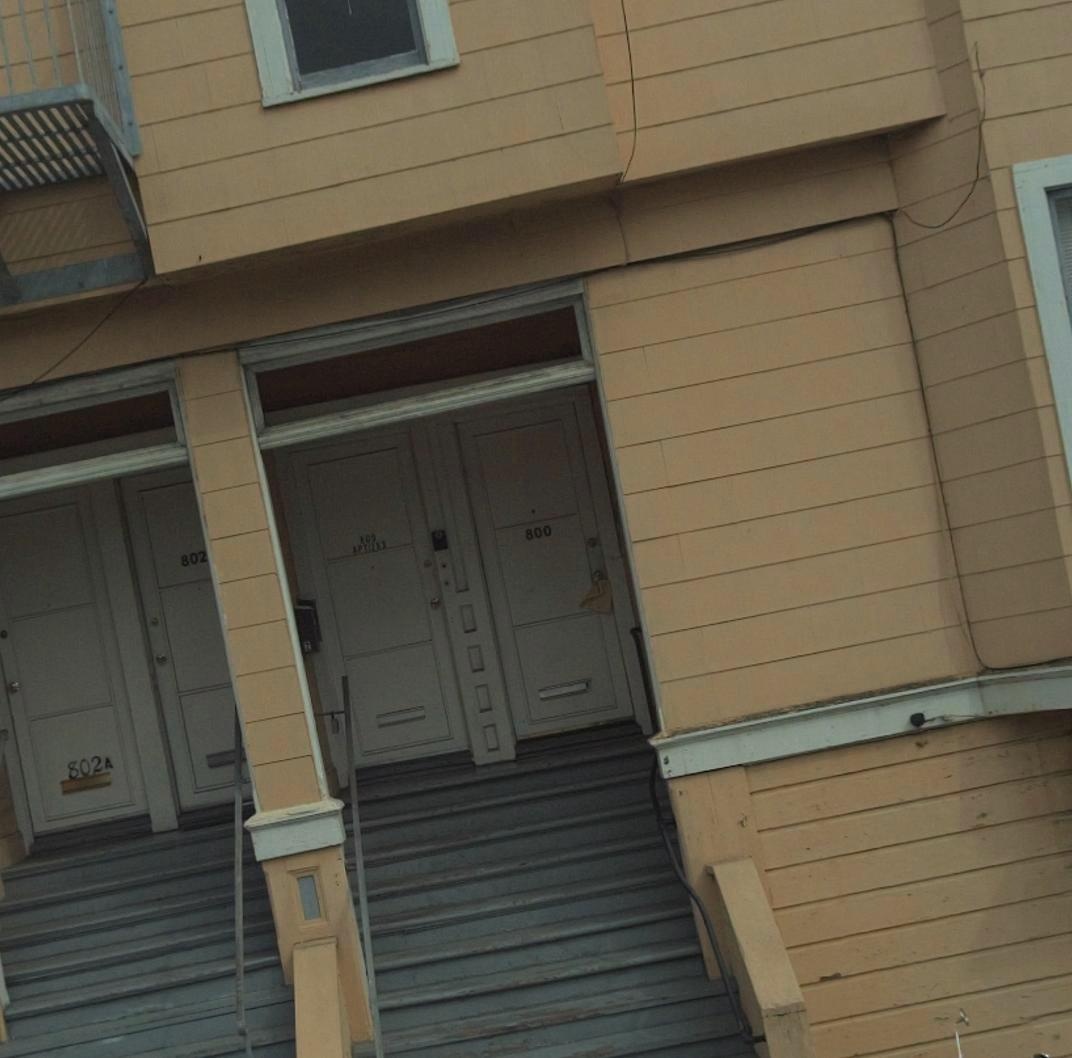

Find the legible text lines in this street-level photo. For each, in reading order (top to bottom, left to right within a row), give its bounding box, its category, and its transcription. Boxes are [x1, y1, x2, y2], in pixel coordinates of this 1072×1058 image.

[524, 524, 553, 542] StreetNumber: 800
[179, 548, 210, 568] StreetNumber: 802
[351, 542, 369, 556] None: APT
[65, 752, 115, 782] StreetNumber: 802A